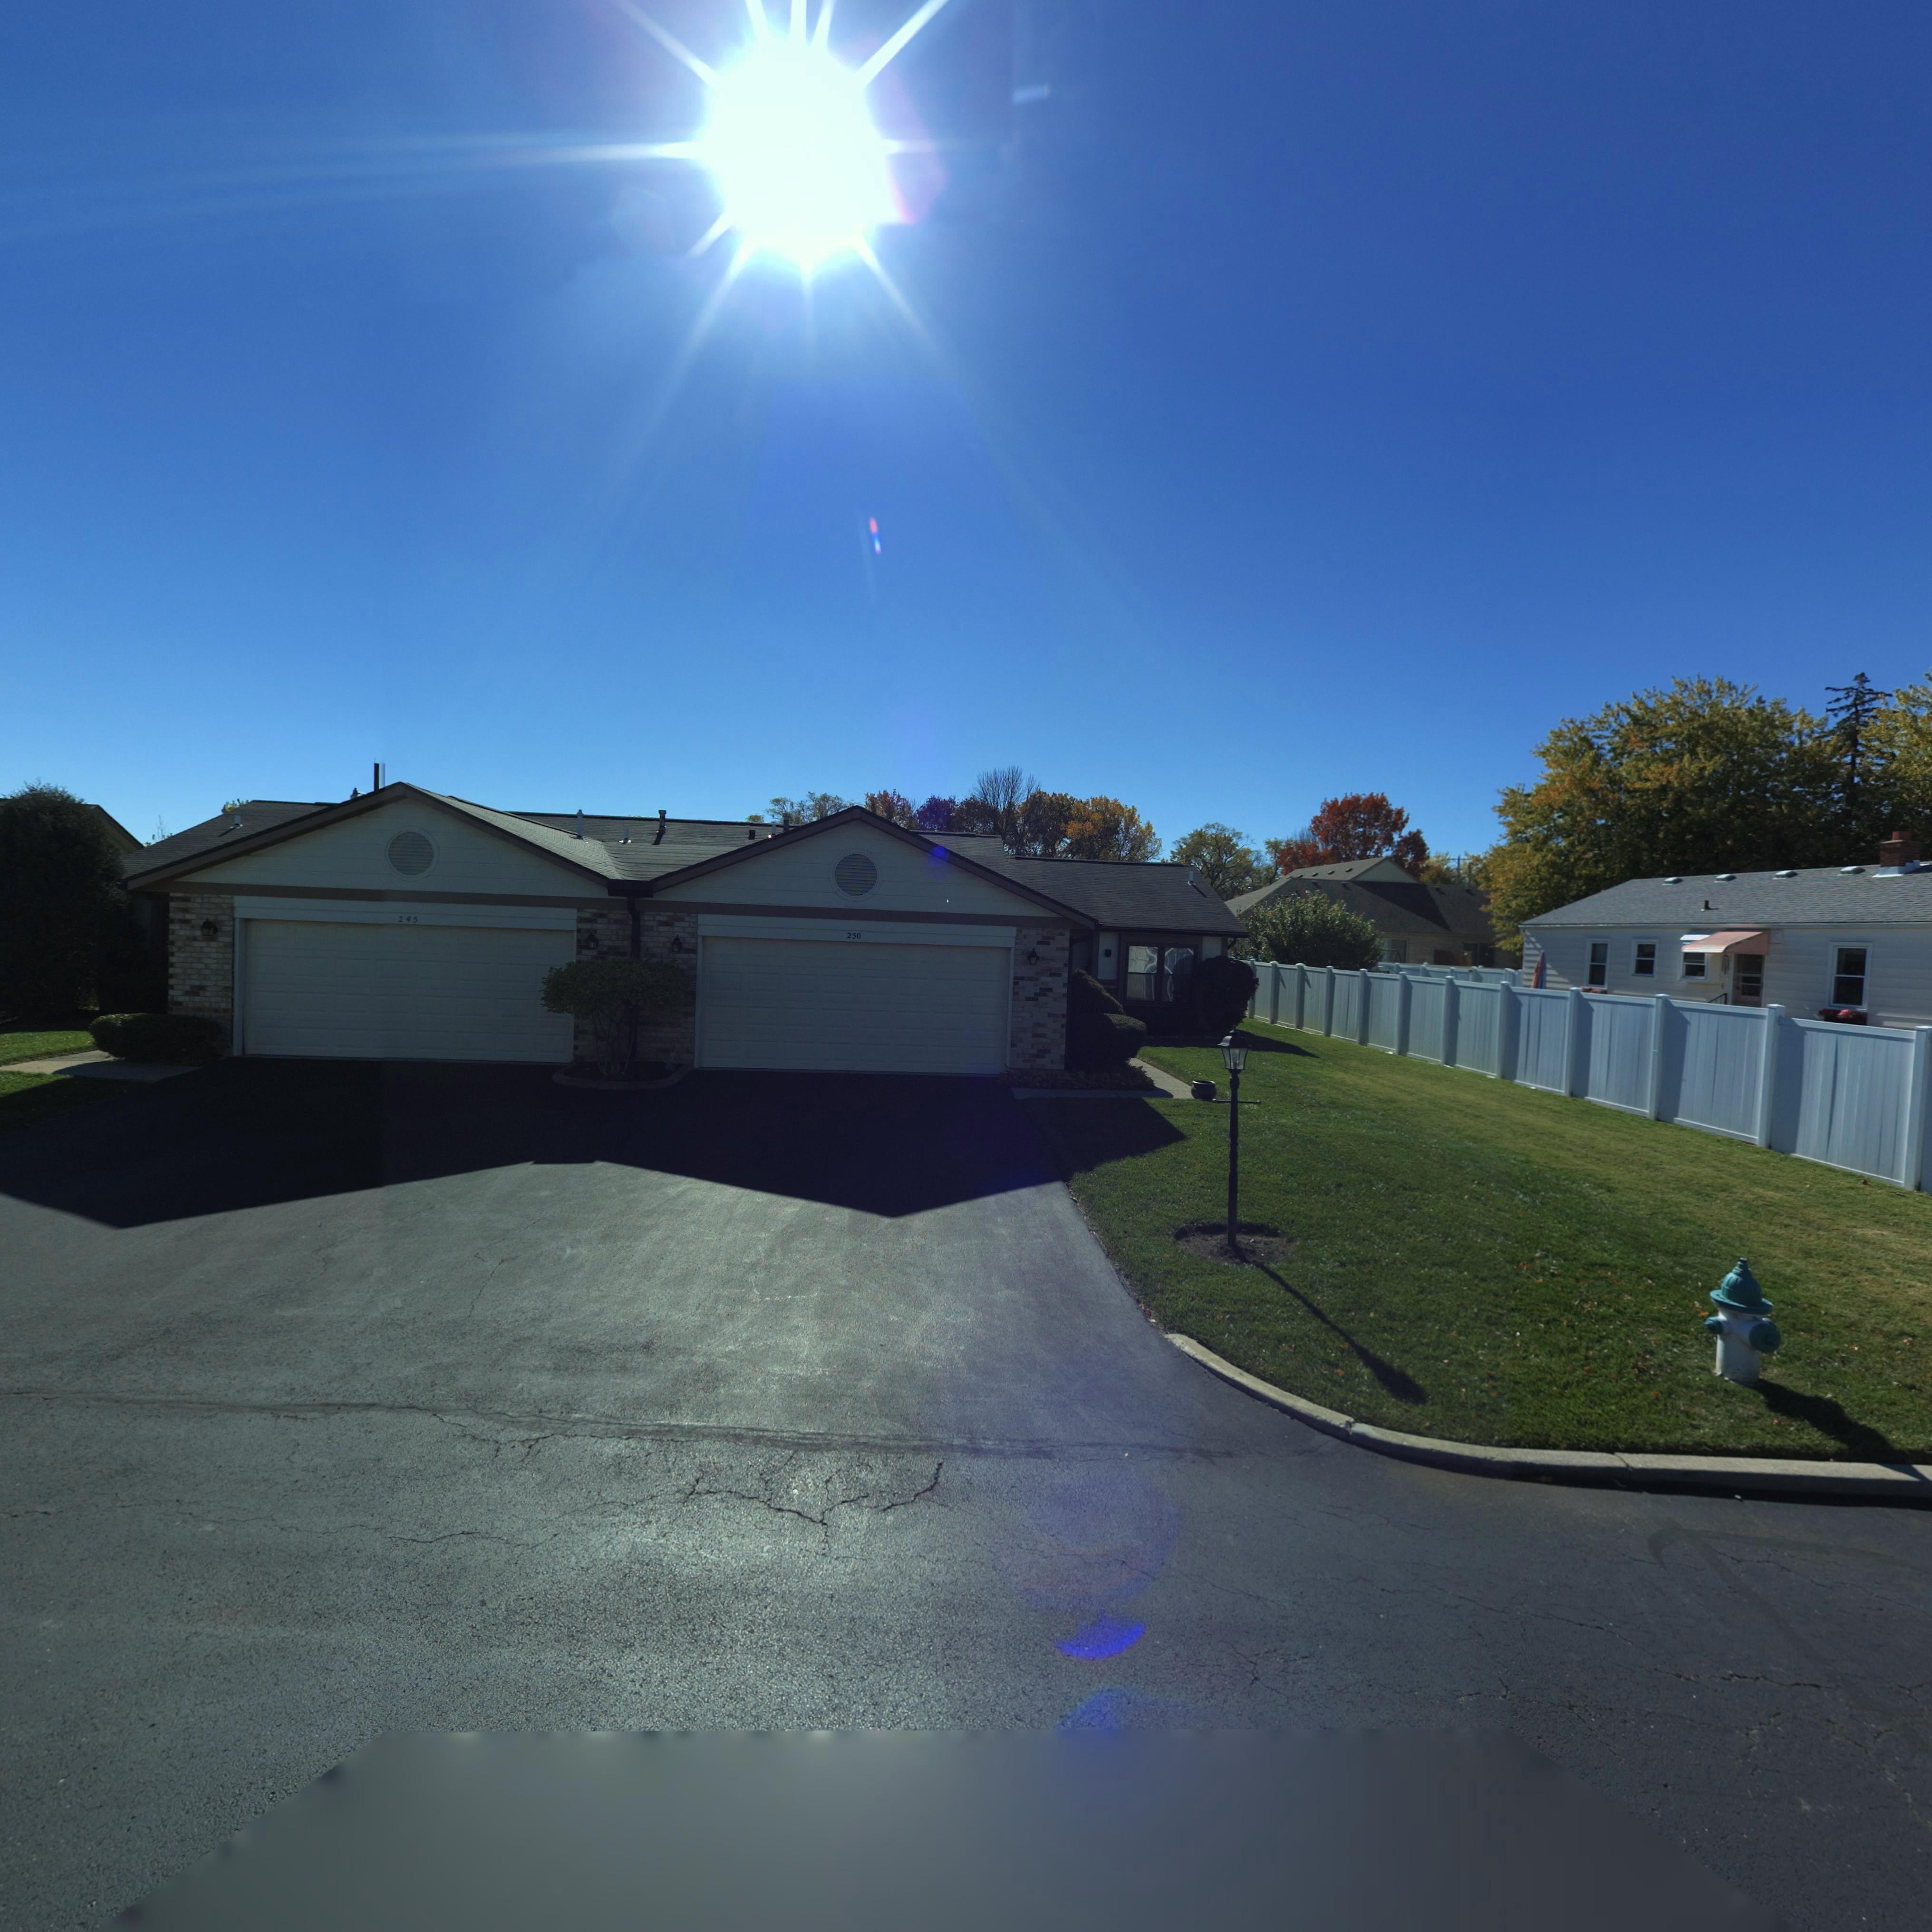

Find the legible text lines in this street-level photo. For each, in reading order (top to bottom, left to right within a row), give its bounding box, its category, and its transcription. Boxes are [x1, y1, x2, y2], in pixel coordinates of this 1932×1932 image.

[396, 914, 420, 924] StreetNumber: 245
[846, 931, 862, 940] StreetNumber: 250